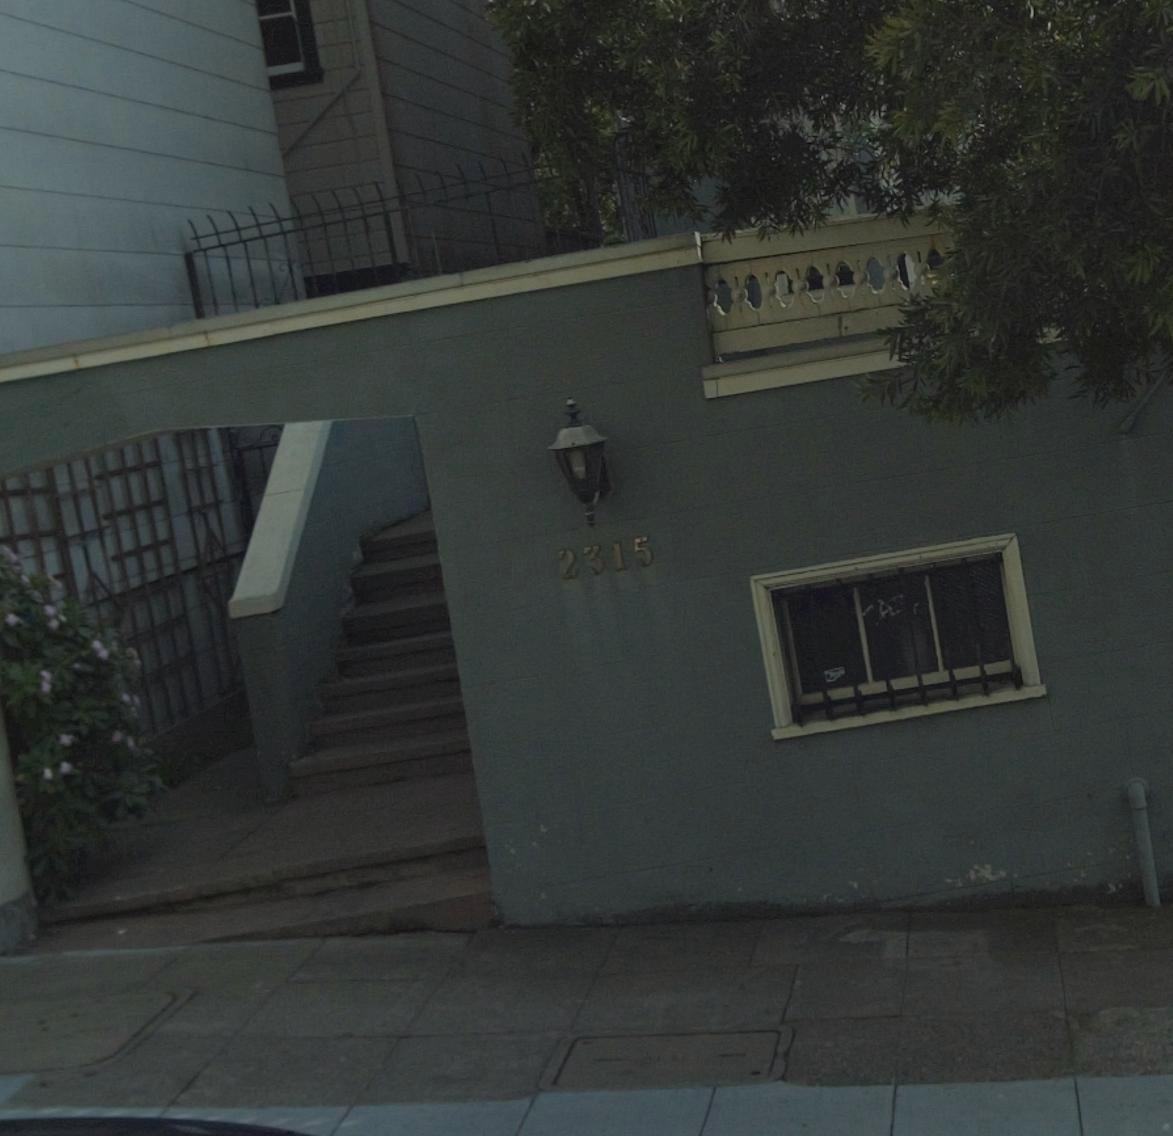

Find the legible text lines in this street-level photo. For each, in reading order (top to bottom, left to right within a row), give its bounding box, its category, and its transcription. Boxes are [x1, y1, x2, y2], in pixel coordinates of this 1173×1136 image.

[554, 532, 658, 585] StreetNumber: 2315